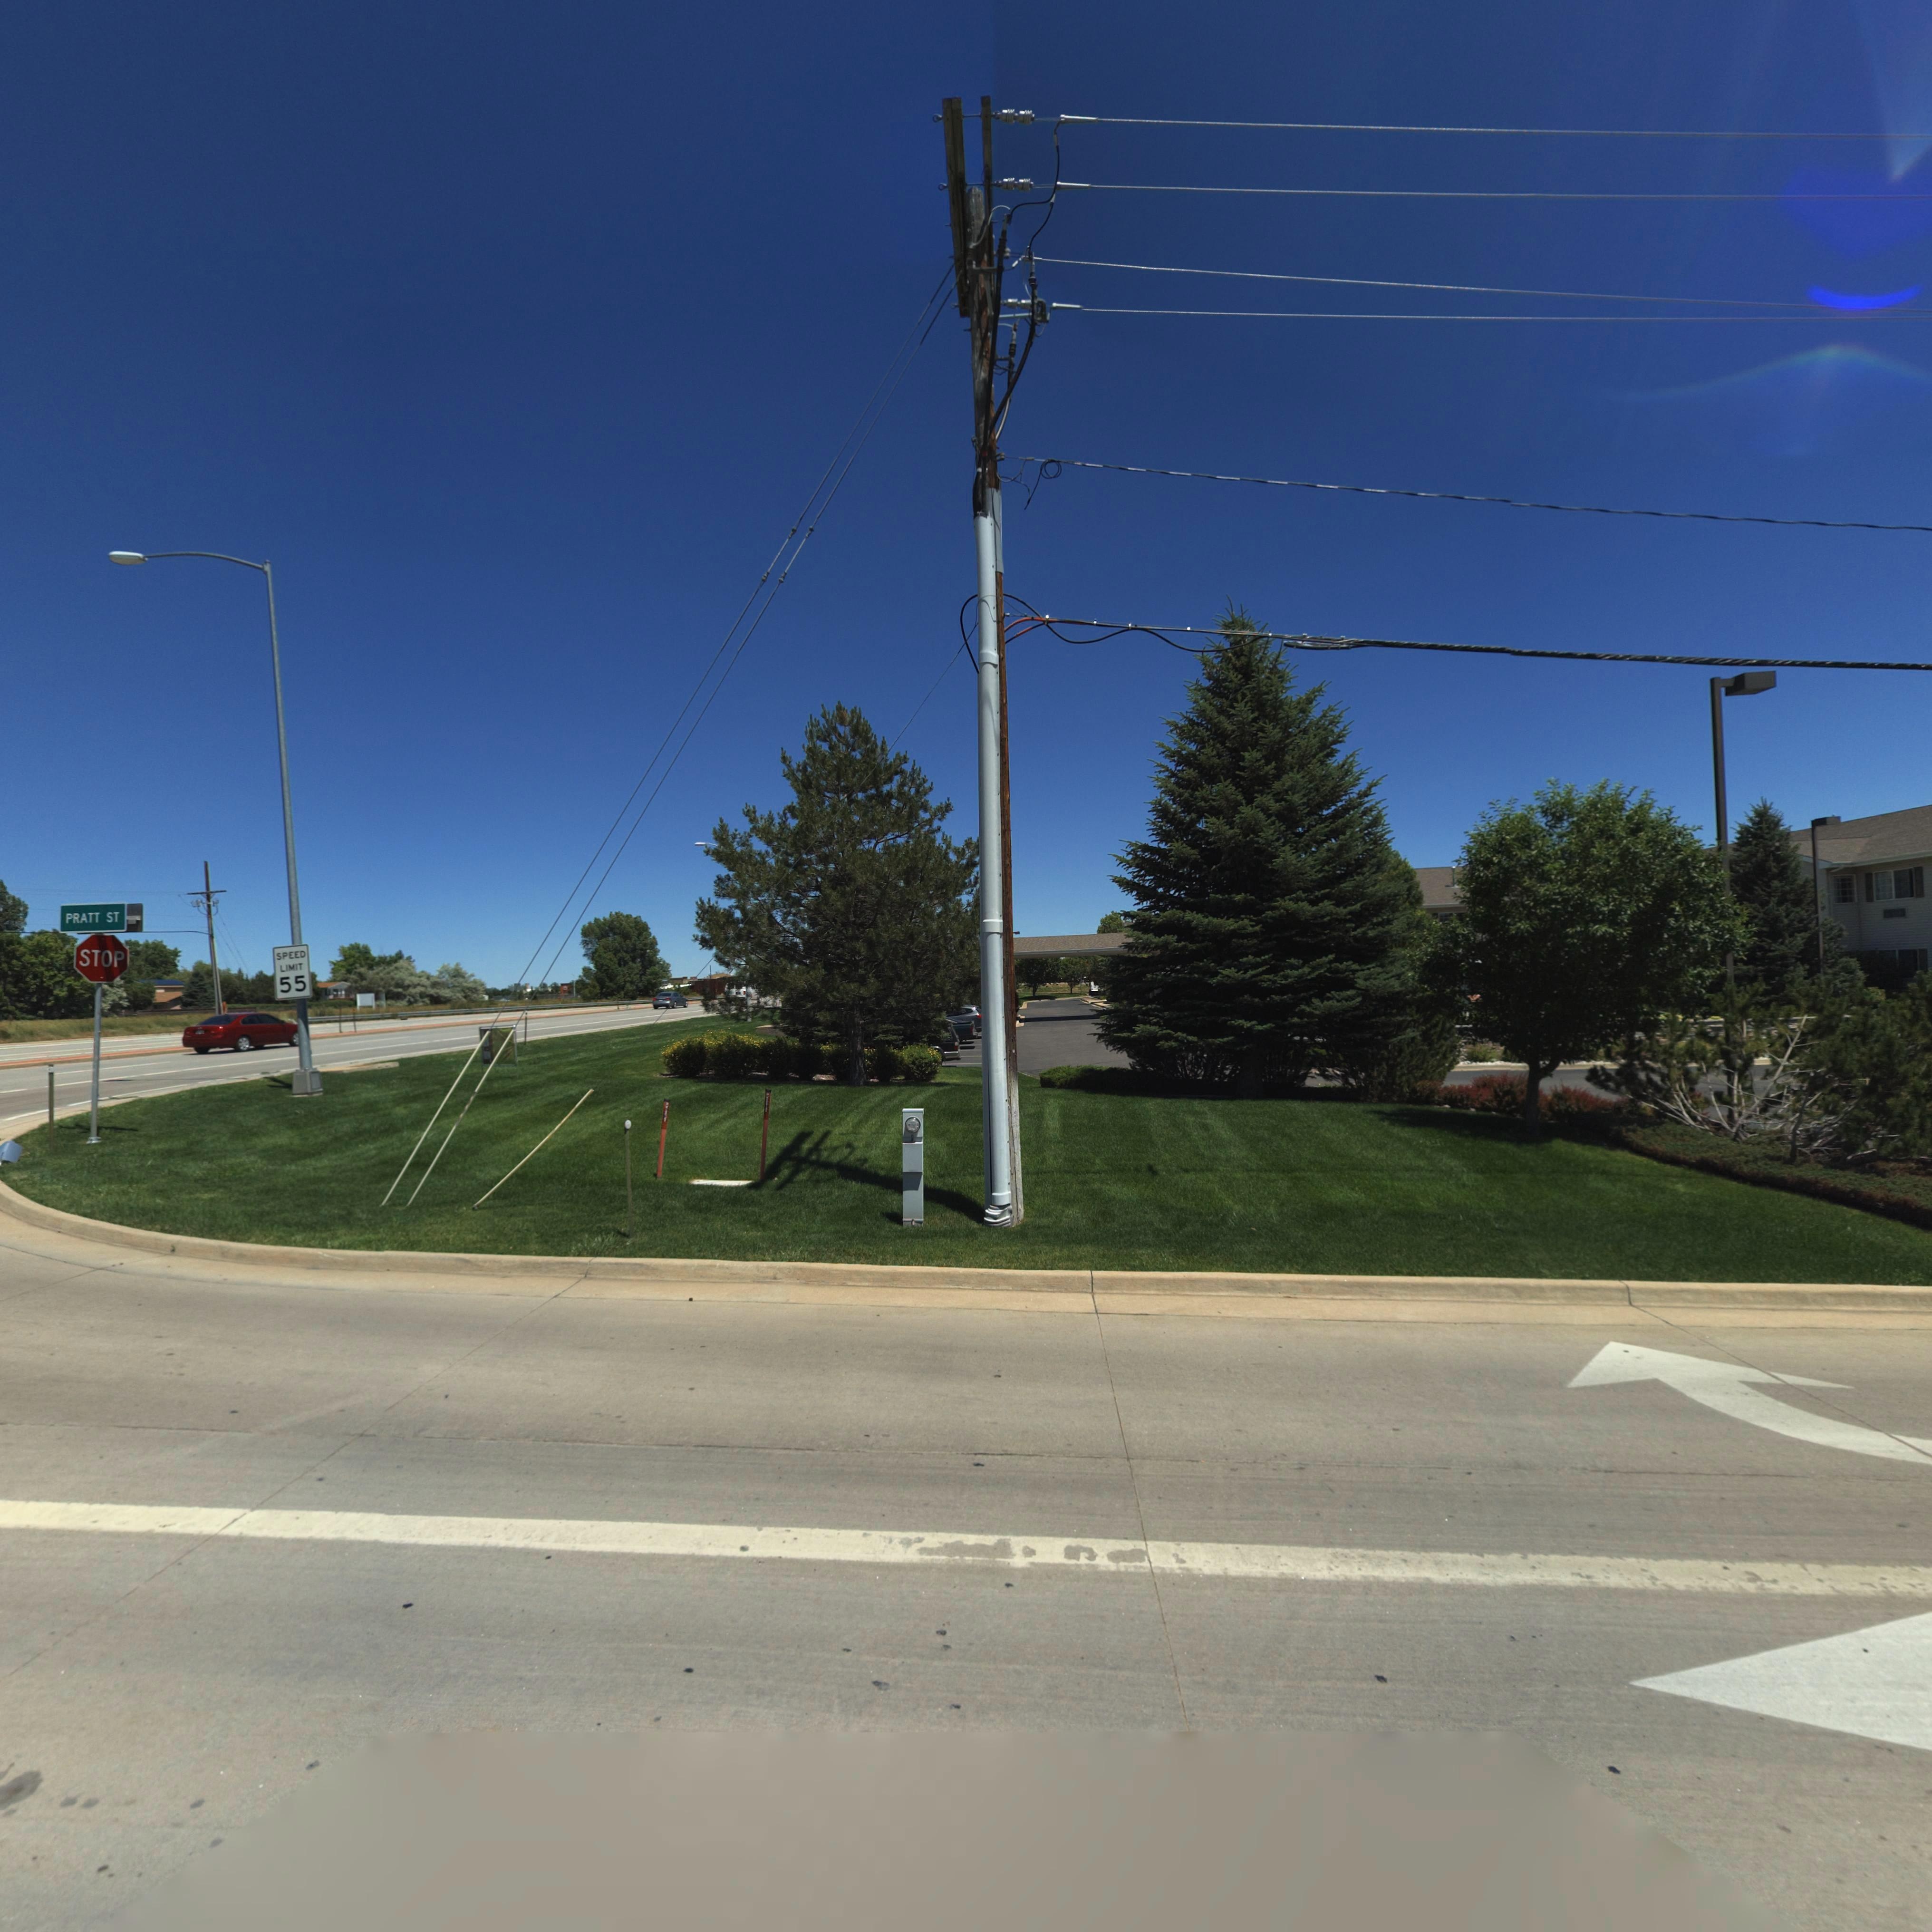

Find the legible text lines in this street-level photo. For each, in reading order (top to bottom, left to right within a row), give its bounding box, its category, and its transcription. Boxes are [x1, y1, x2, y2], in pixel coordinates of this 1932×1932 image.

[65, 911, 120, 924] StreetName: PRATT ST